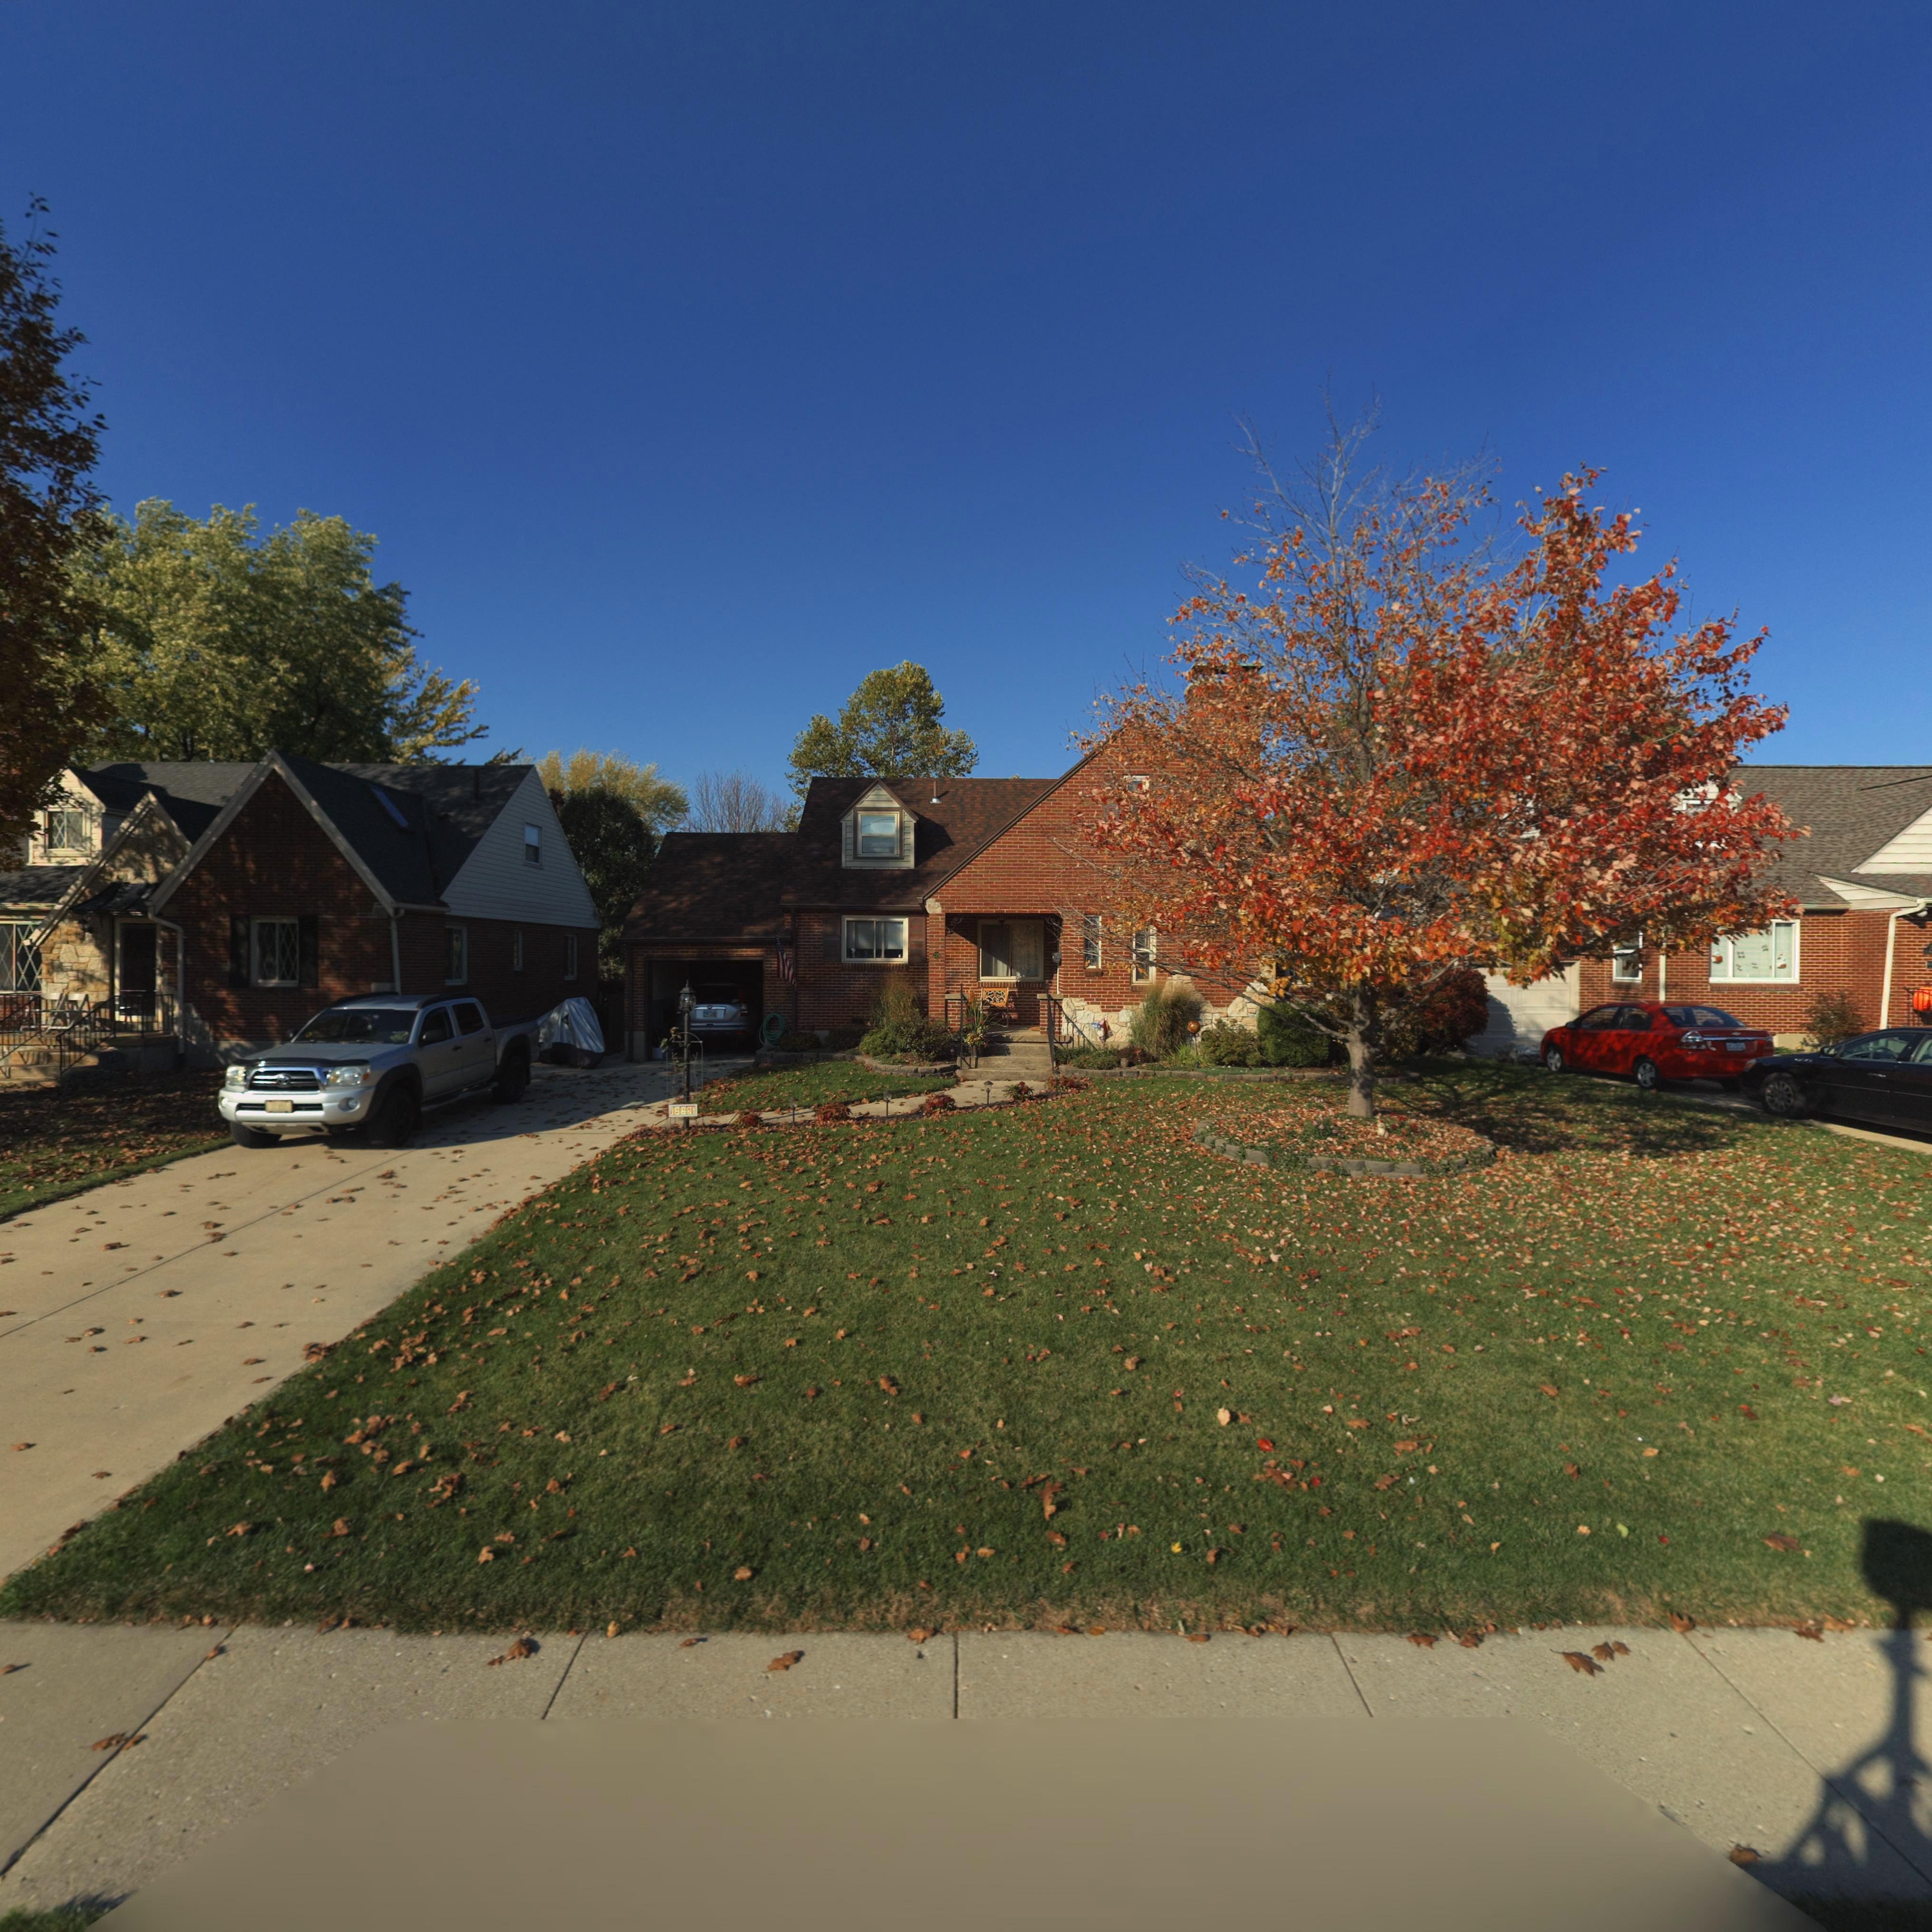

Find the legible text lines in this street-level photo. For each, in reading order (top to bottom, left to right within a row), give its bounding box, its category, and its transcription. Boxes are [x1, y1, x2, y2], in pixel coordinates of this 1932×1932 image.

[932, 952, 941, 959] StreetNumber: 225
[674, 1106, 693, 1116] StreetNumber: 225